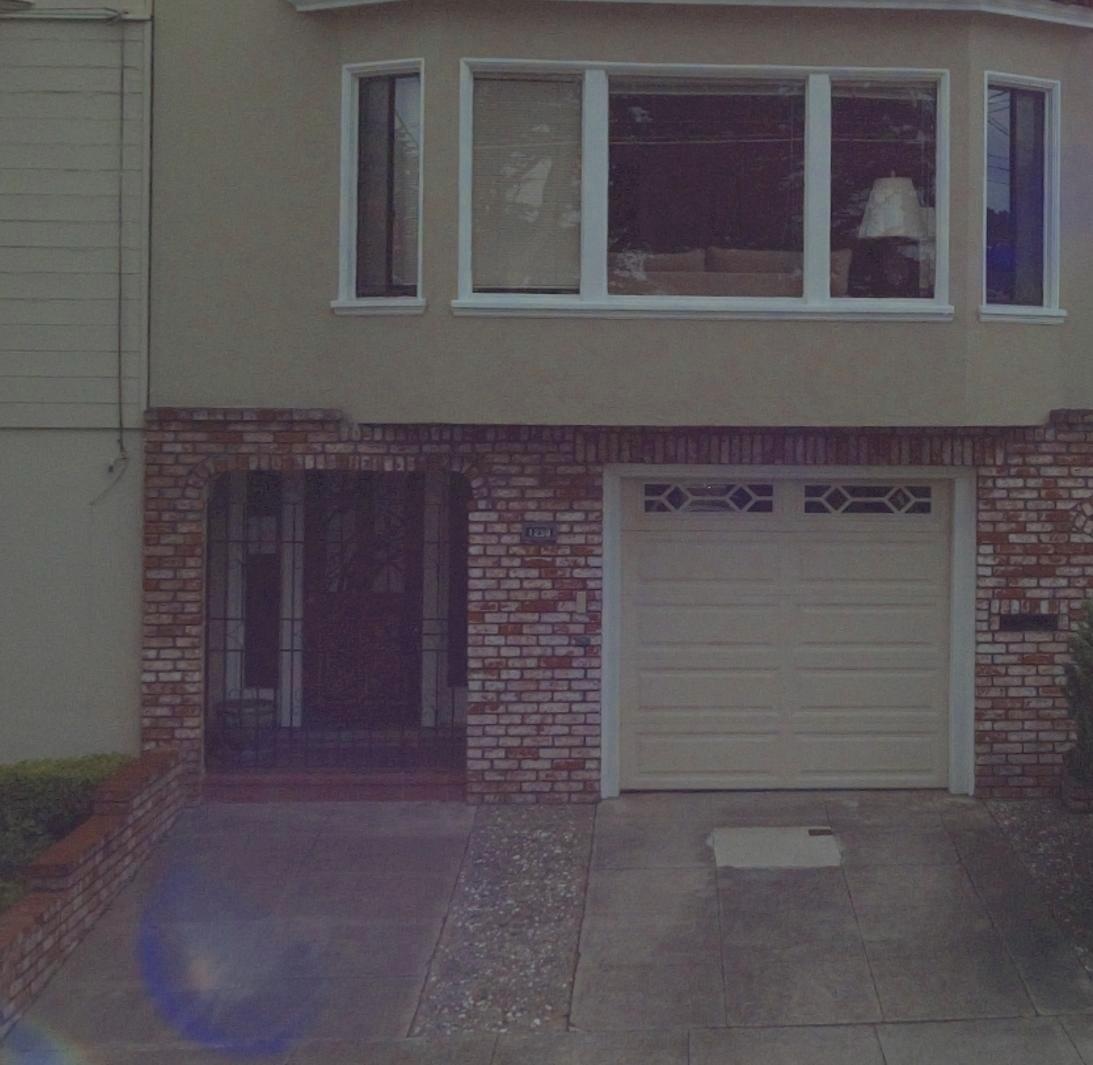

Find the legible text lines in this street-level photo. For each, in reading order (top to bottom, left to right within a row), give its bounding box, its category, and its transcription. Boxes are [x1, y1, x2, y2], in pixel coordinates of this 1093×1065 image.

[528, 527, 552, 538] StreetNumber: 125*